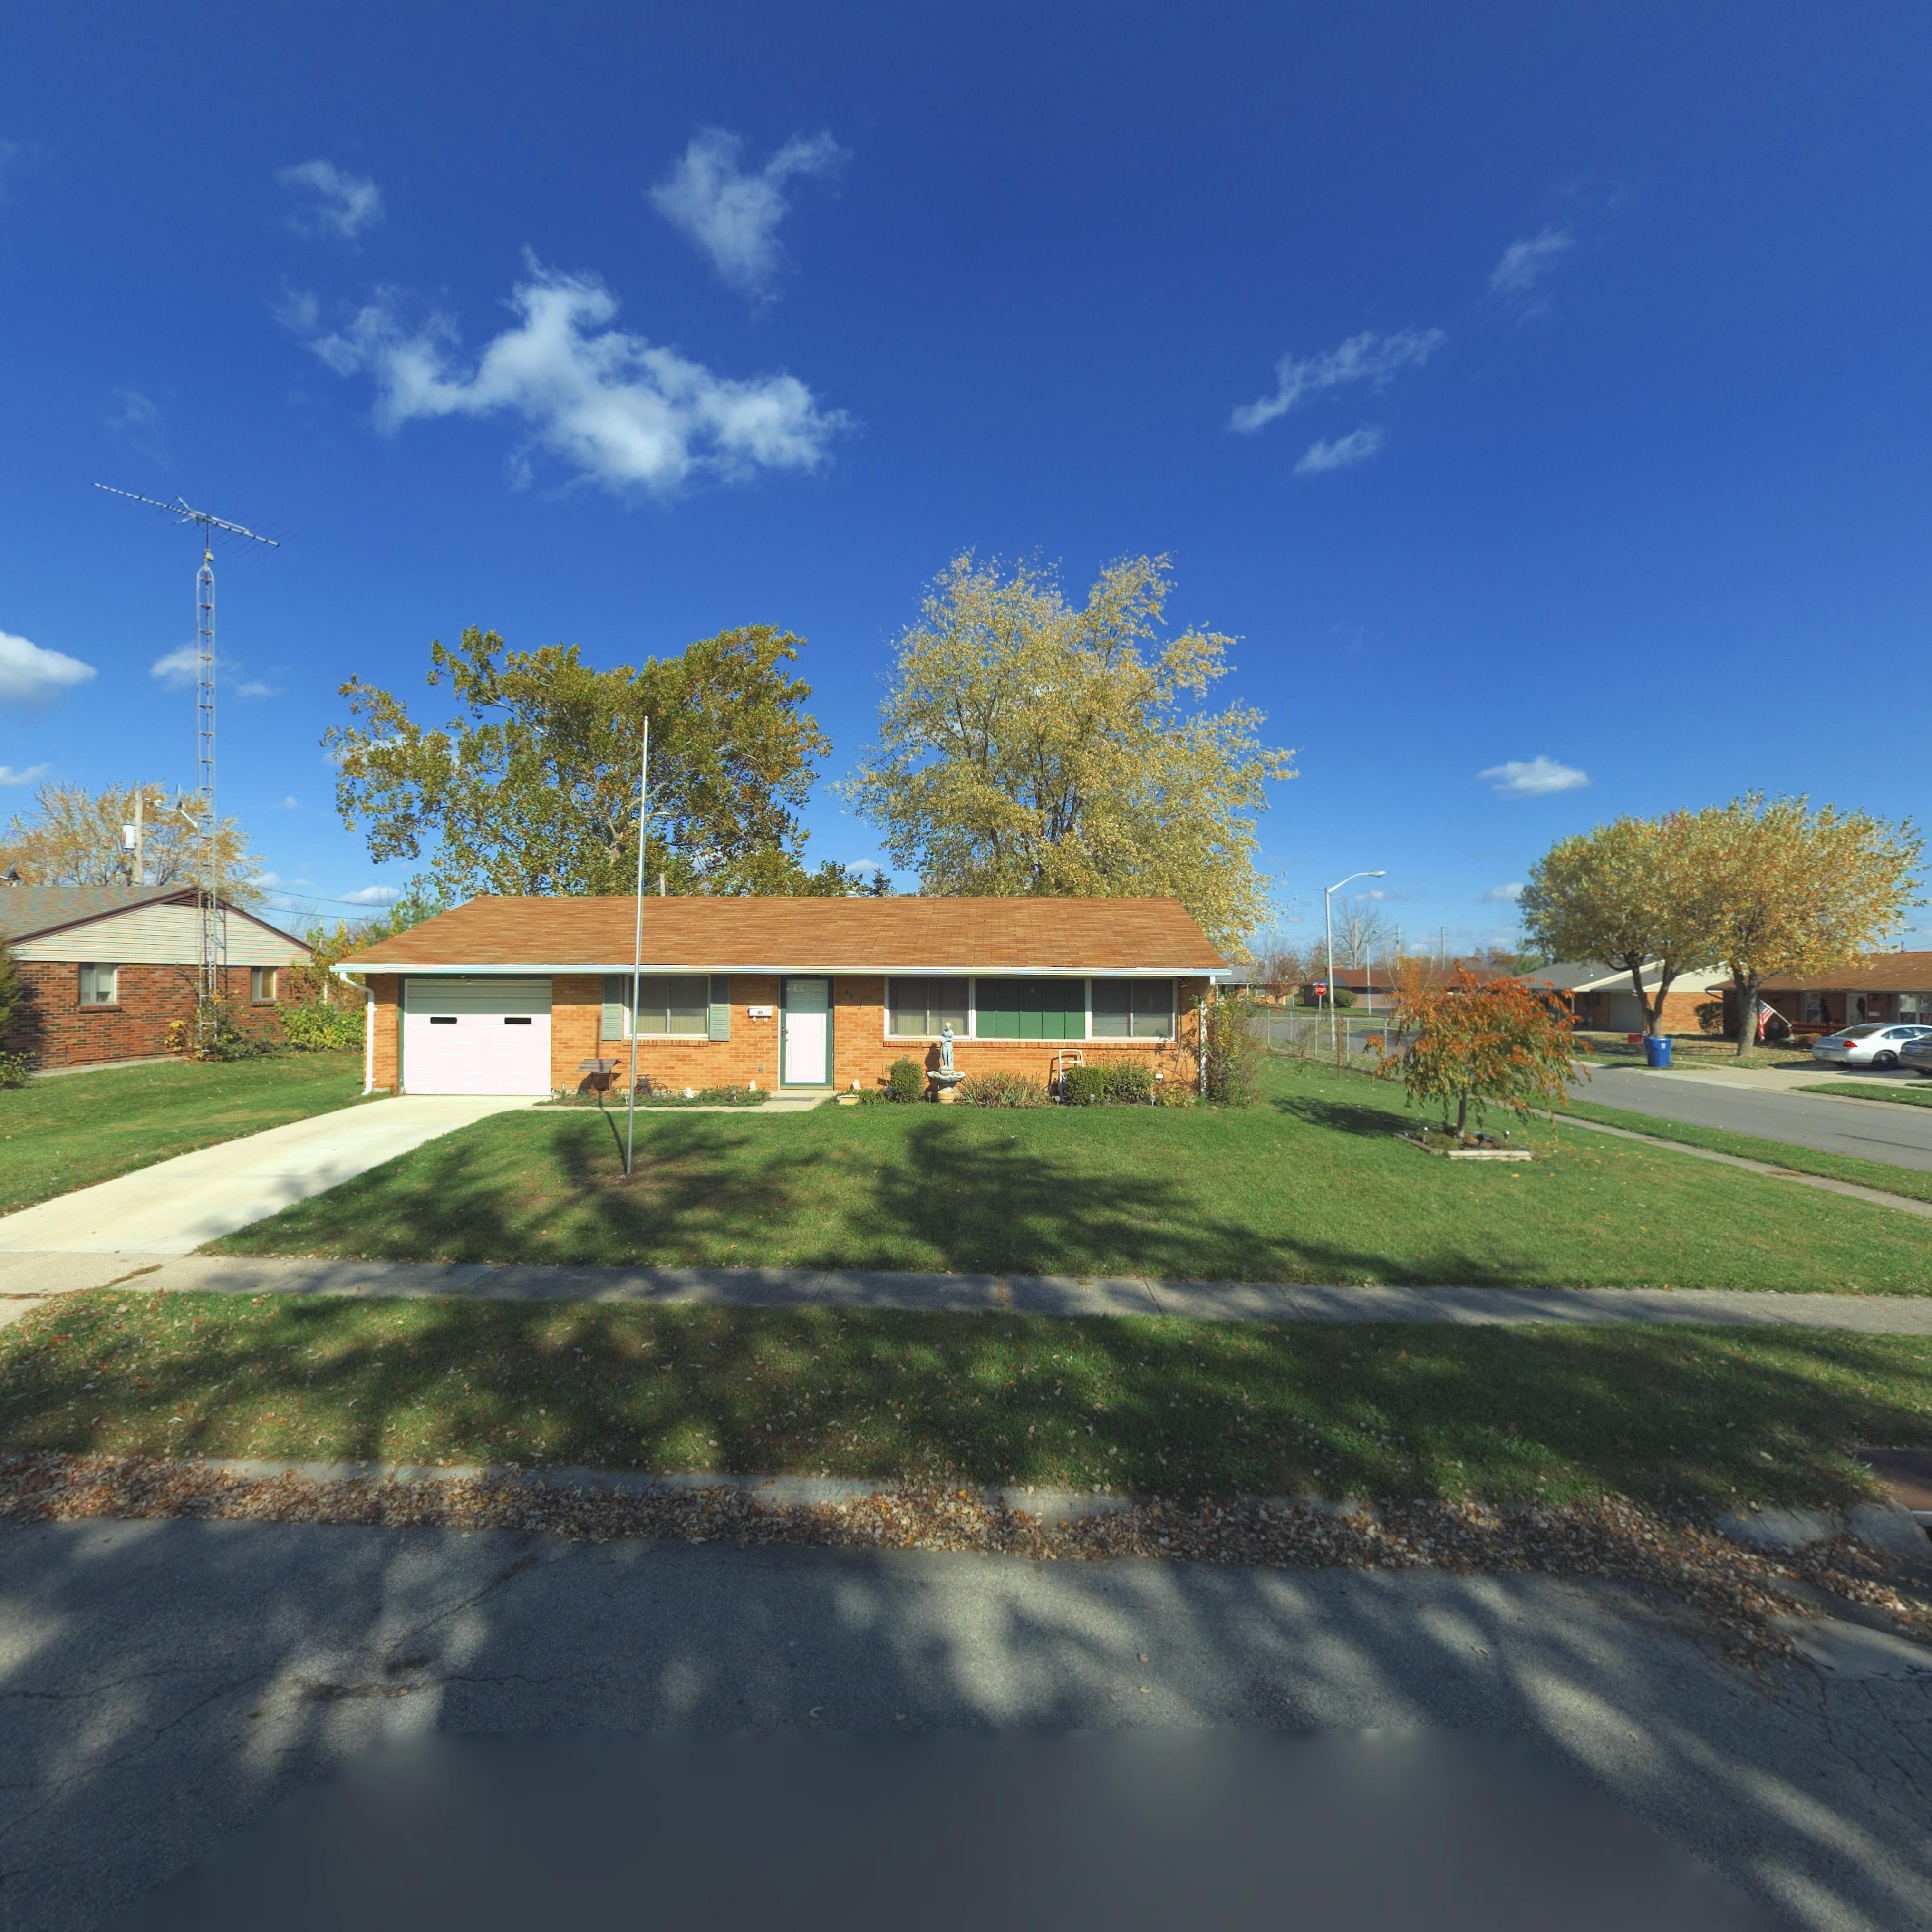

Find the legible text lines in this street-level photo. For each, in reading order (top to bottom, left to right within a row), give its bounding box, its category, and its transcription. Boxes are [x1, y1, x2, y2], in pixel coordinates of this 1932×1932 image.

[843, 987, 863, 1011] StreetNumber: 69*3